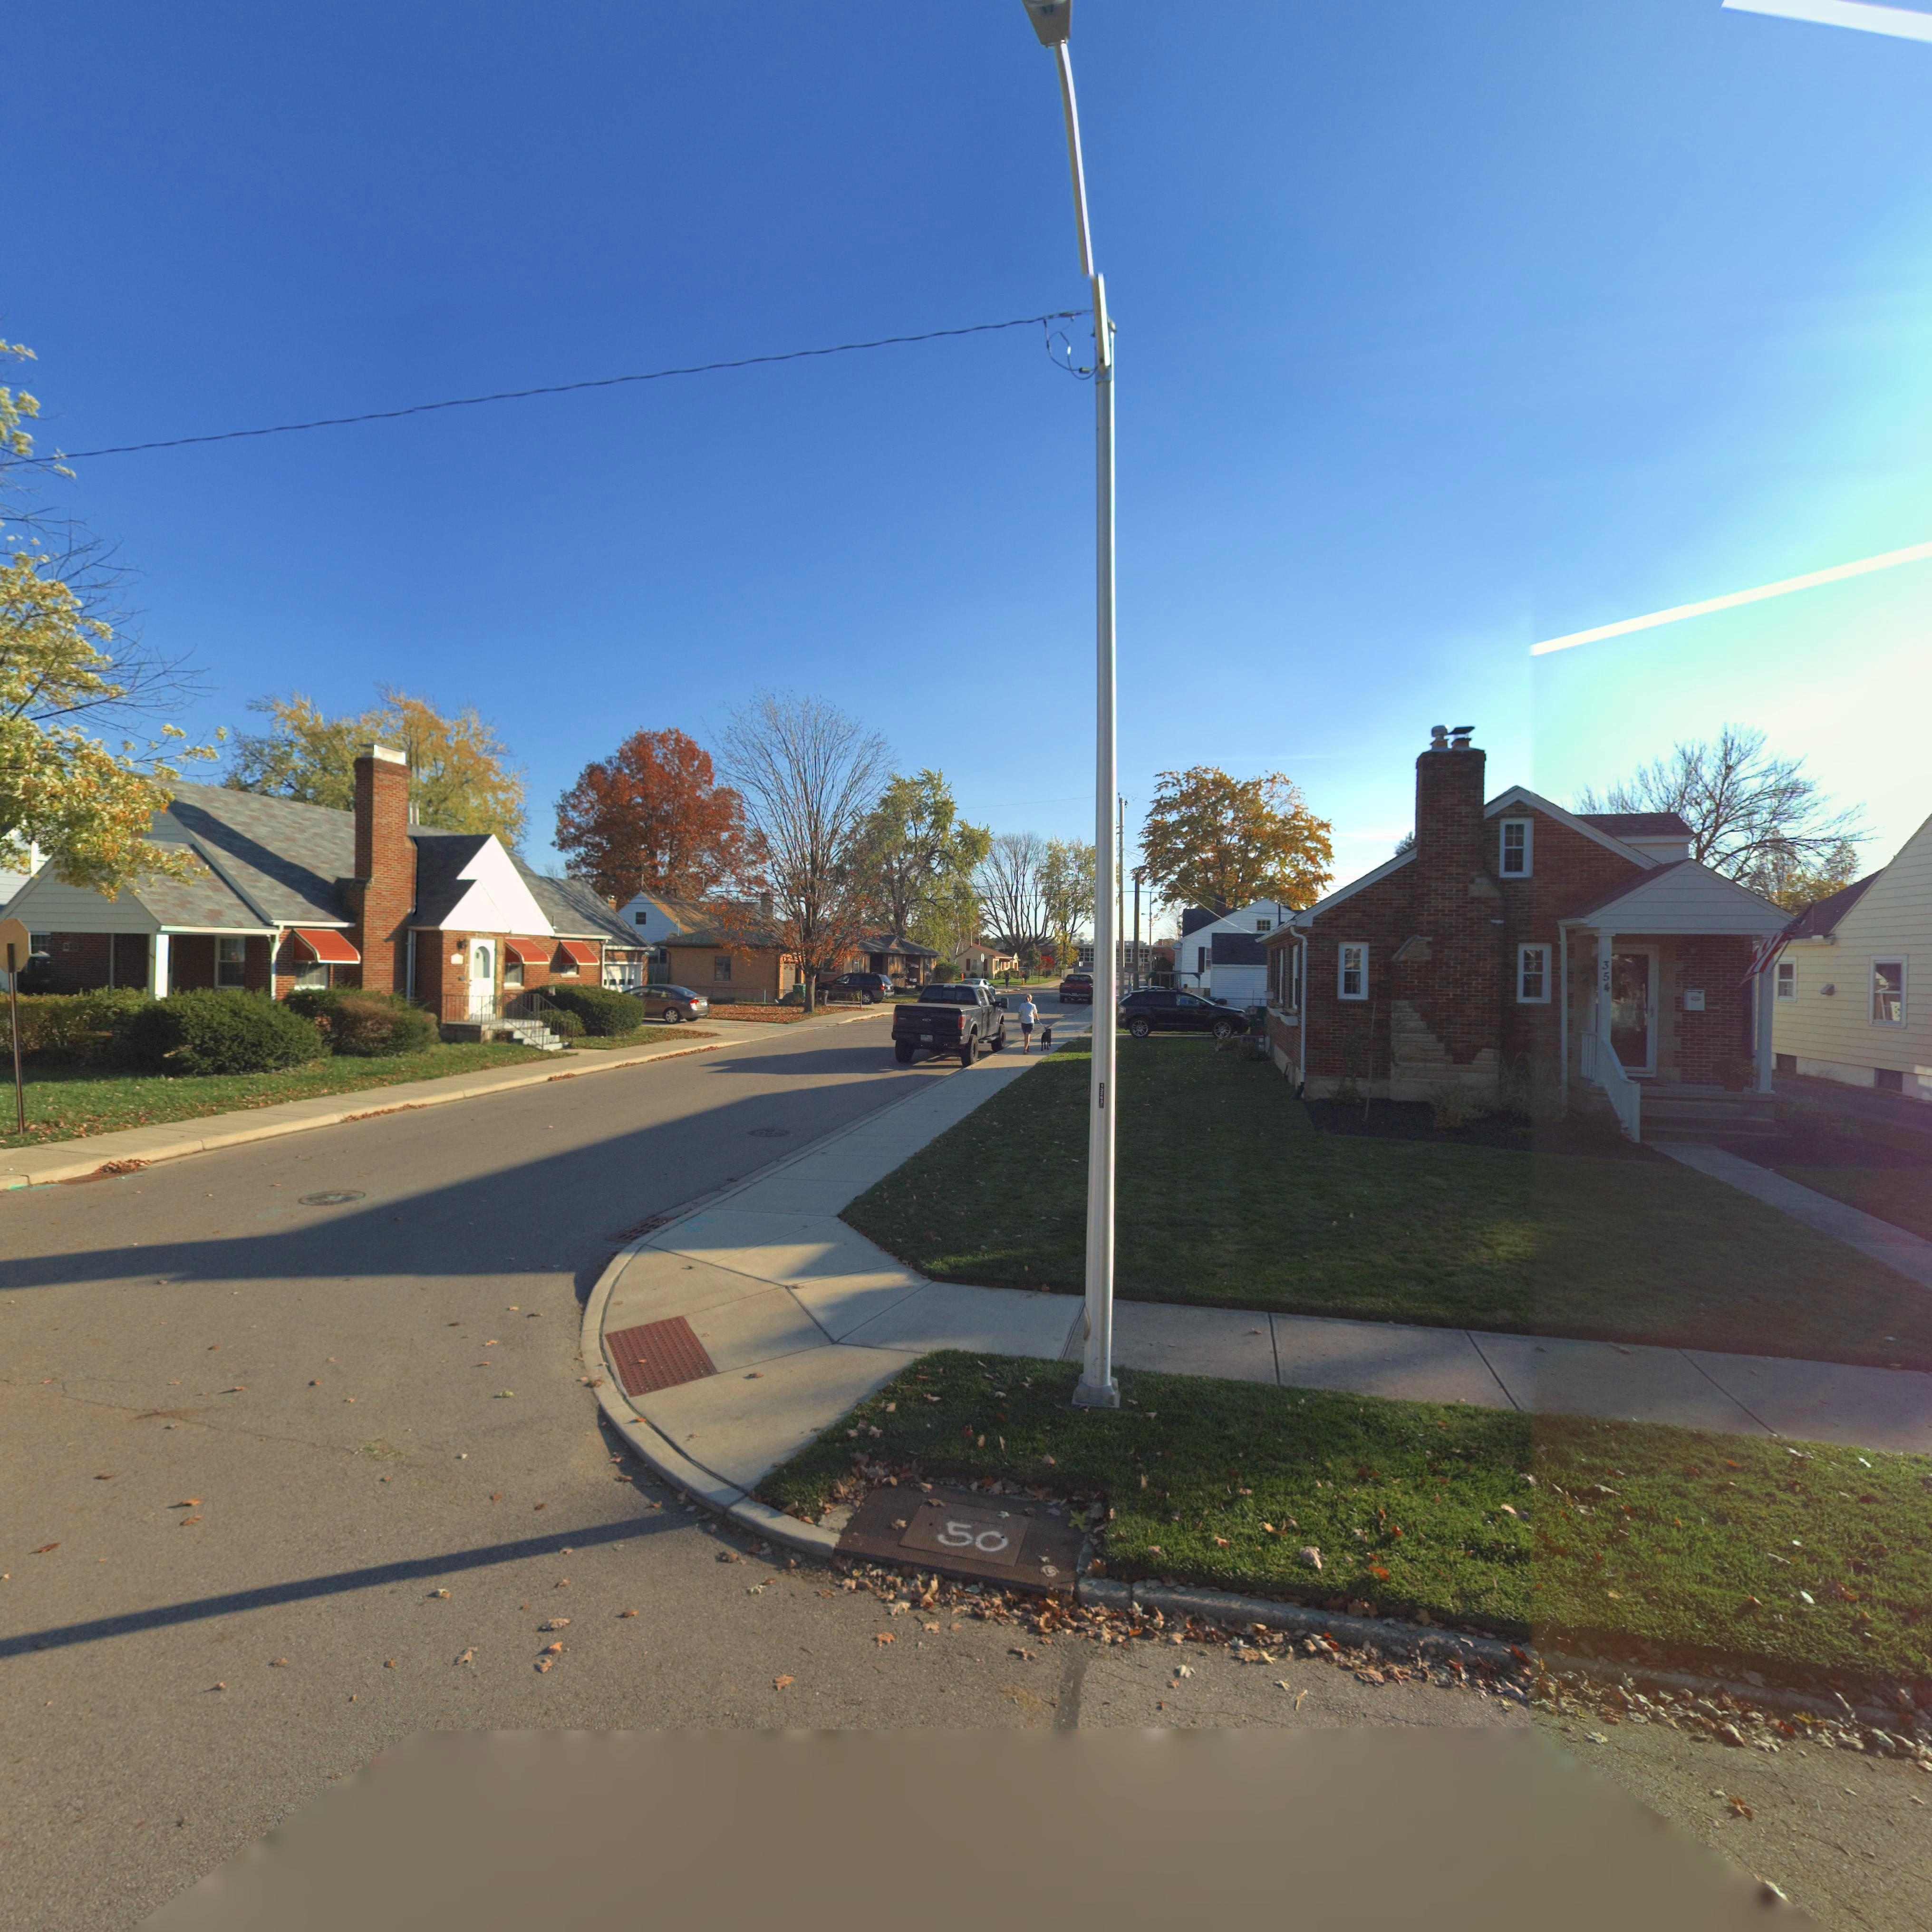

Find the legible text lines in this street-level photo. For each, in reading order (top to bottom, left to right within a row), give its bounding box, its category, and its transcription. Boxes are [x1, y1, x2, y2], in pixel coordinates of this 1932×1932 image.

[1602, 960, 1611, 993] StreetNumber: 354